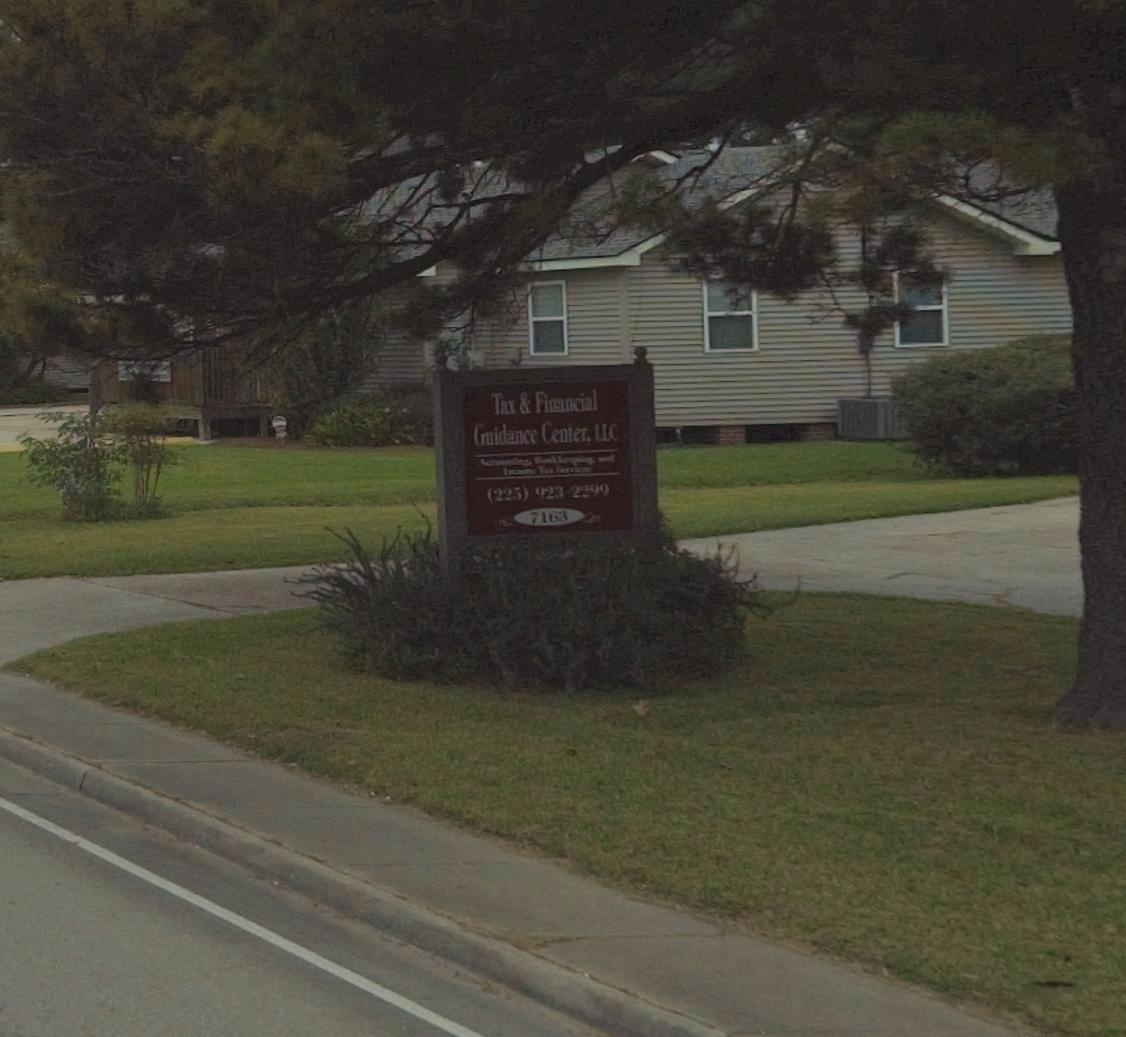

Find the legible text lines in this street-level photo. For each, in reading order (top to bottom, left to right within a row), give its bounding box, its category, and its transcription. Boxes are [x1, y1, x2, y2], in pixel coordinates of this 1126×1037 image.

[487, 388, 603, 414] BusinessName: Tax & Financial
[474, 418, 620, 449] BusinessName: Guidance Center, LLC
[485, 482, 612, 505] None: (225) 923-2299
[530, 511, 569, 524] StreetNumber: 7163